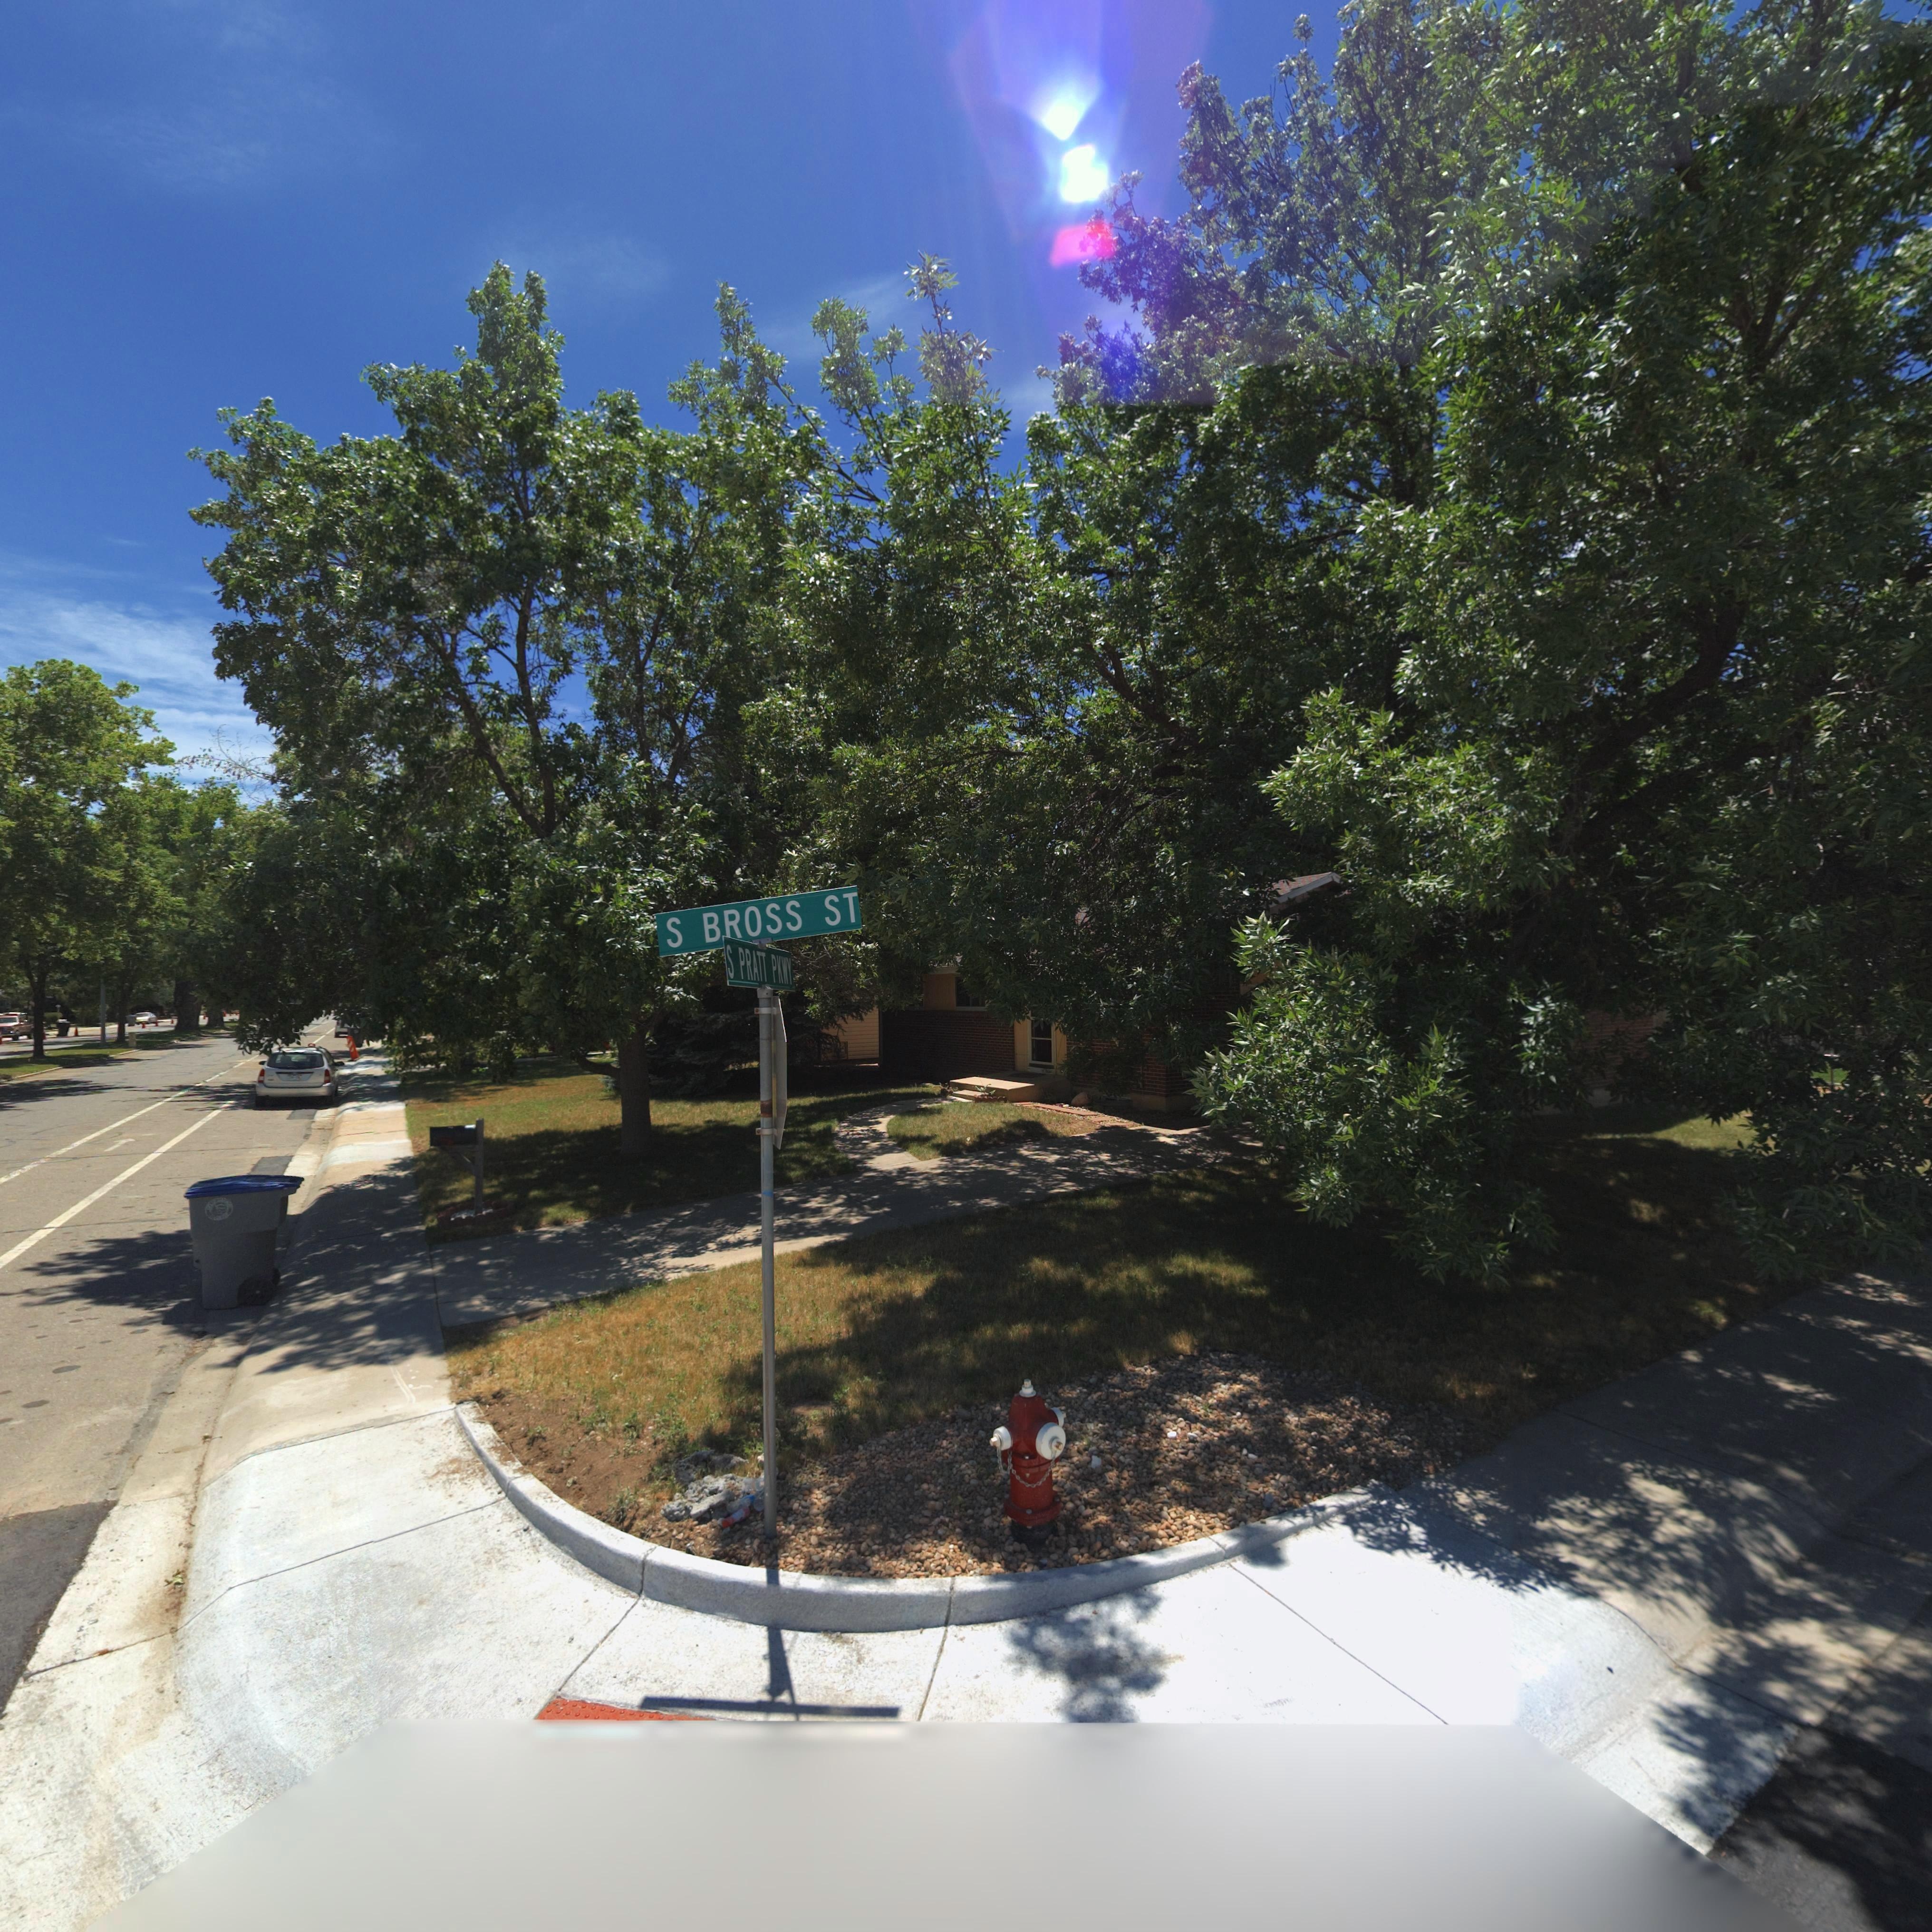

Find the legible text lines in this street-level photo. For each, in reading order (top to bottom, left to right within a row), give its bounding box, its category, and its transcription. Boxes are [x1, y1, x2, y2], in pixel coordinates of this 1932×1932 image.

[666, 890, 858, 949] StreetName: S BROSS ST
[725, 943, 792, 985] StreetName: S PRATT PKWY